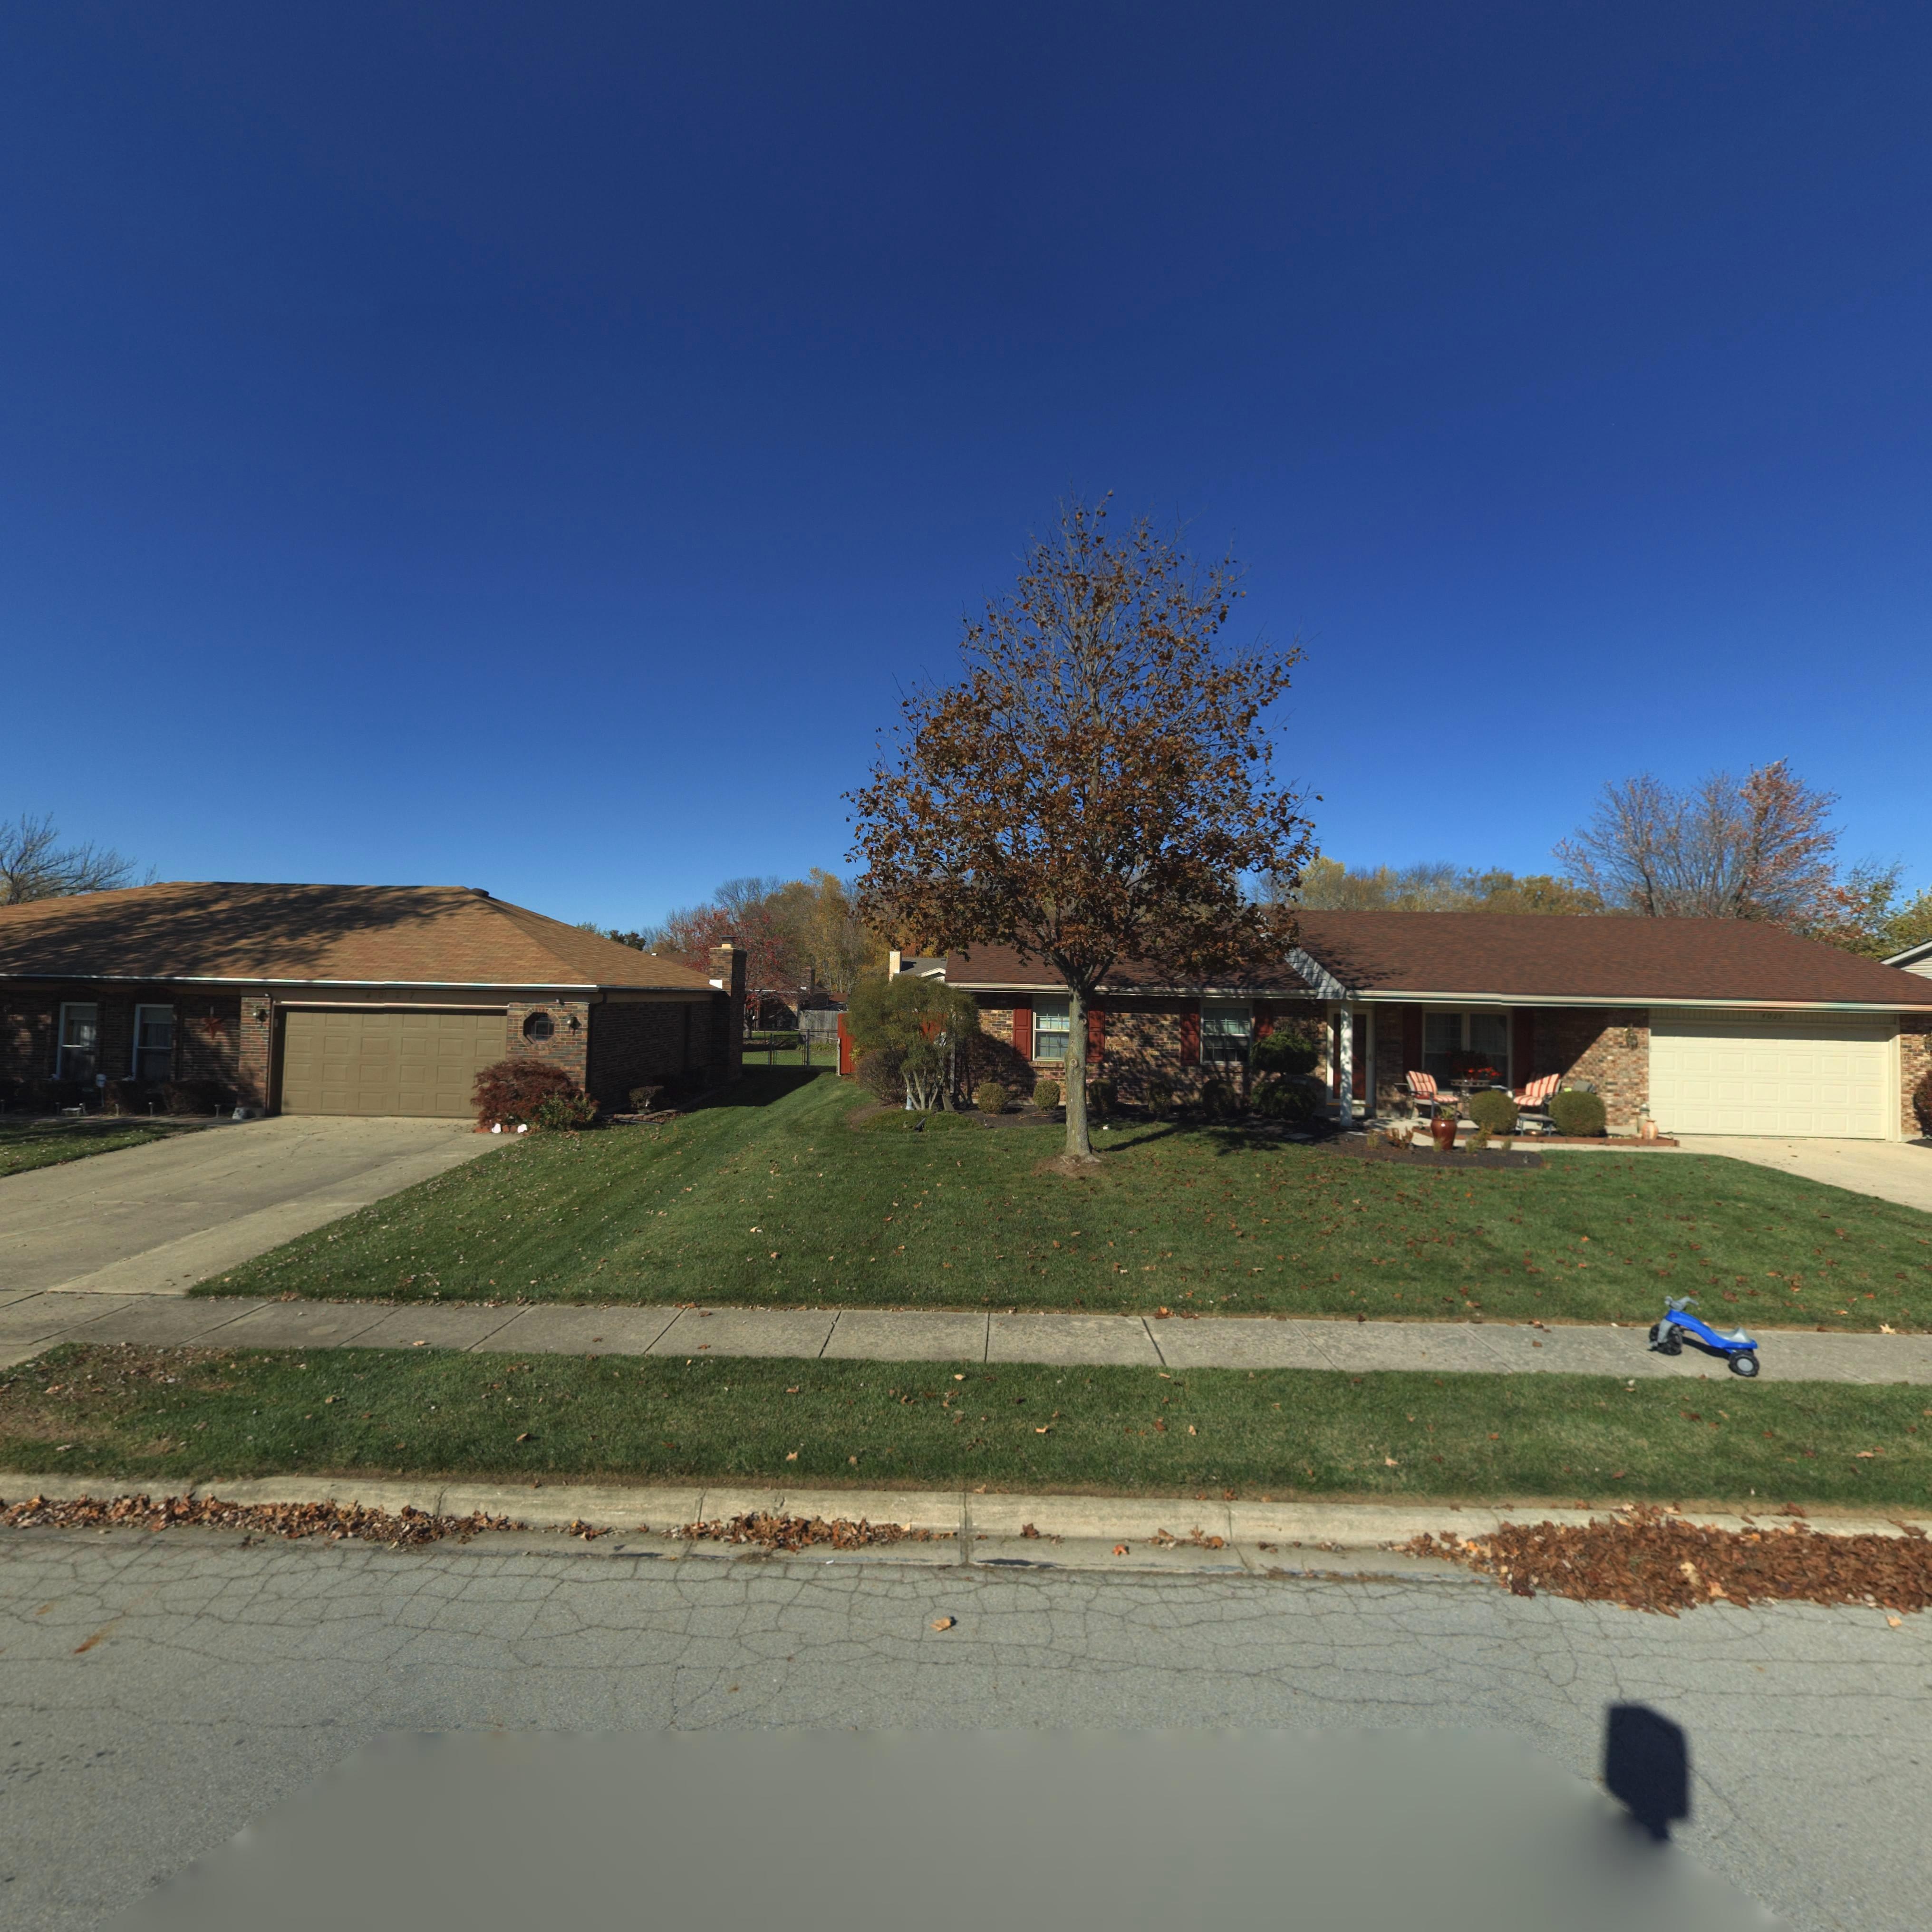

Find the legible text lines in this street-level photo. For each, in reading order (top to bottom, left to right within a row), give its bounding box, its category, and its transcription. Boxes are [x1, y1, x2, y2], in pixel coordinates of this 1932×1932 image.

[365, 990, 416, 1000] StreetNumber: 4027
[1760, 1013, 1783, 1019] StreetNumber: 4029